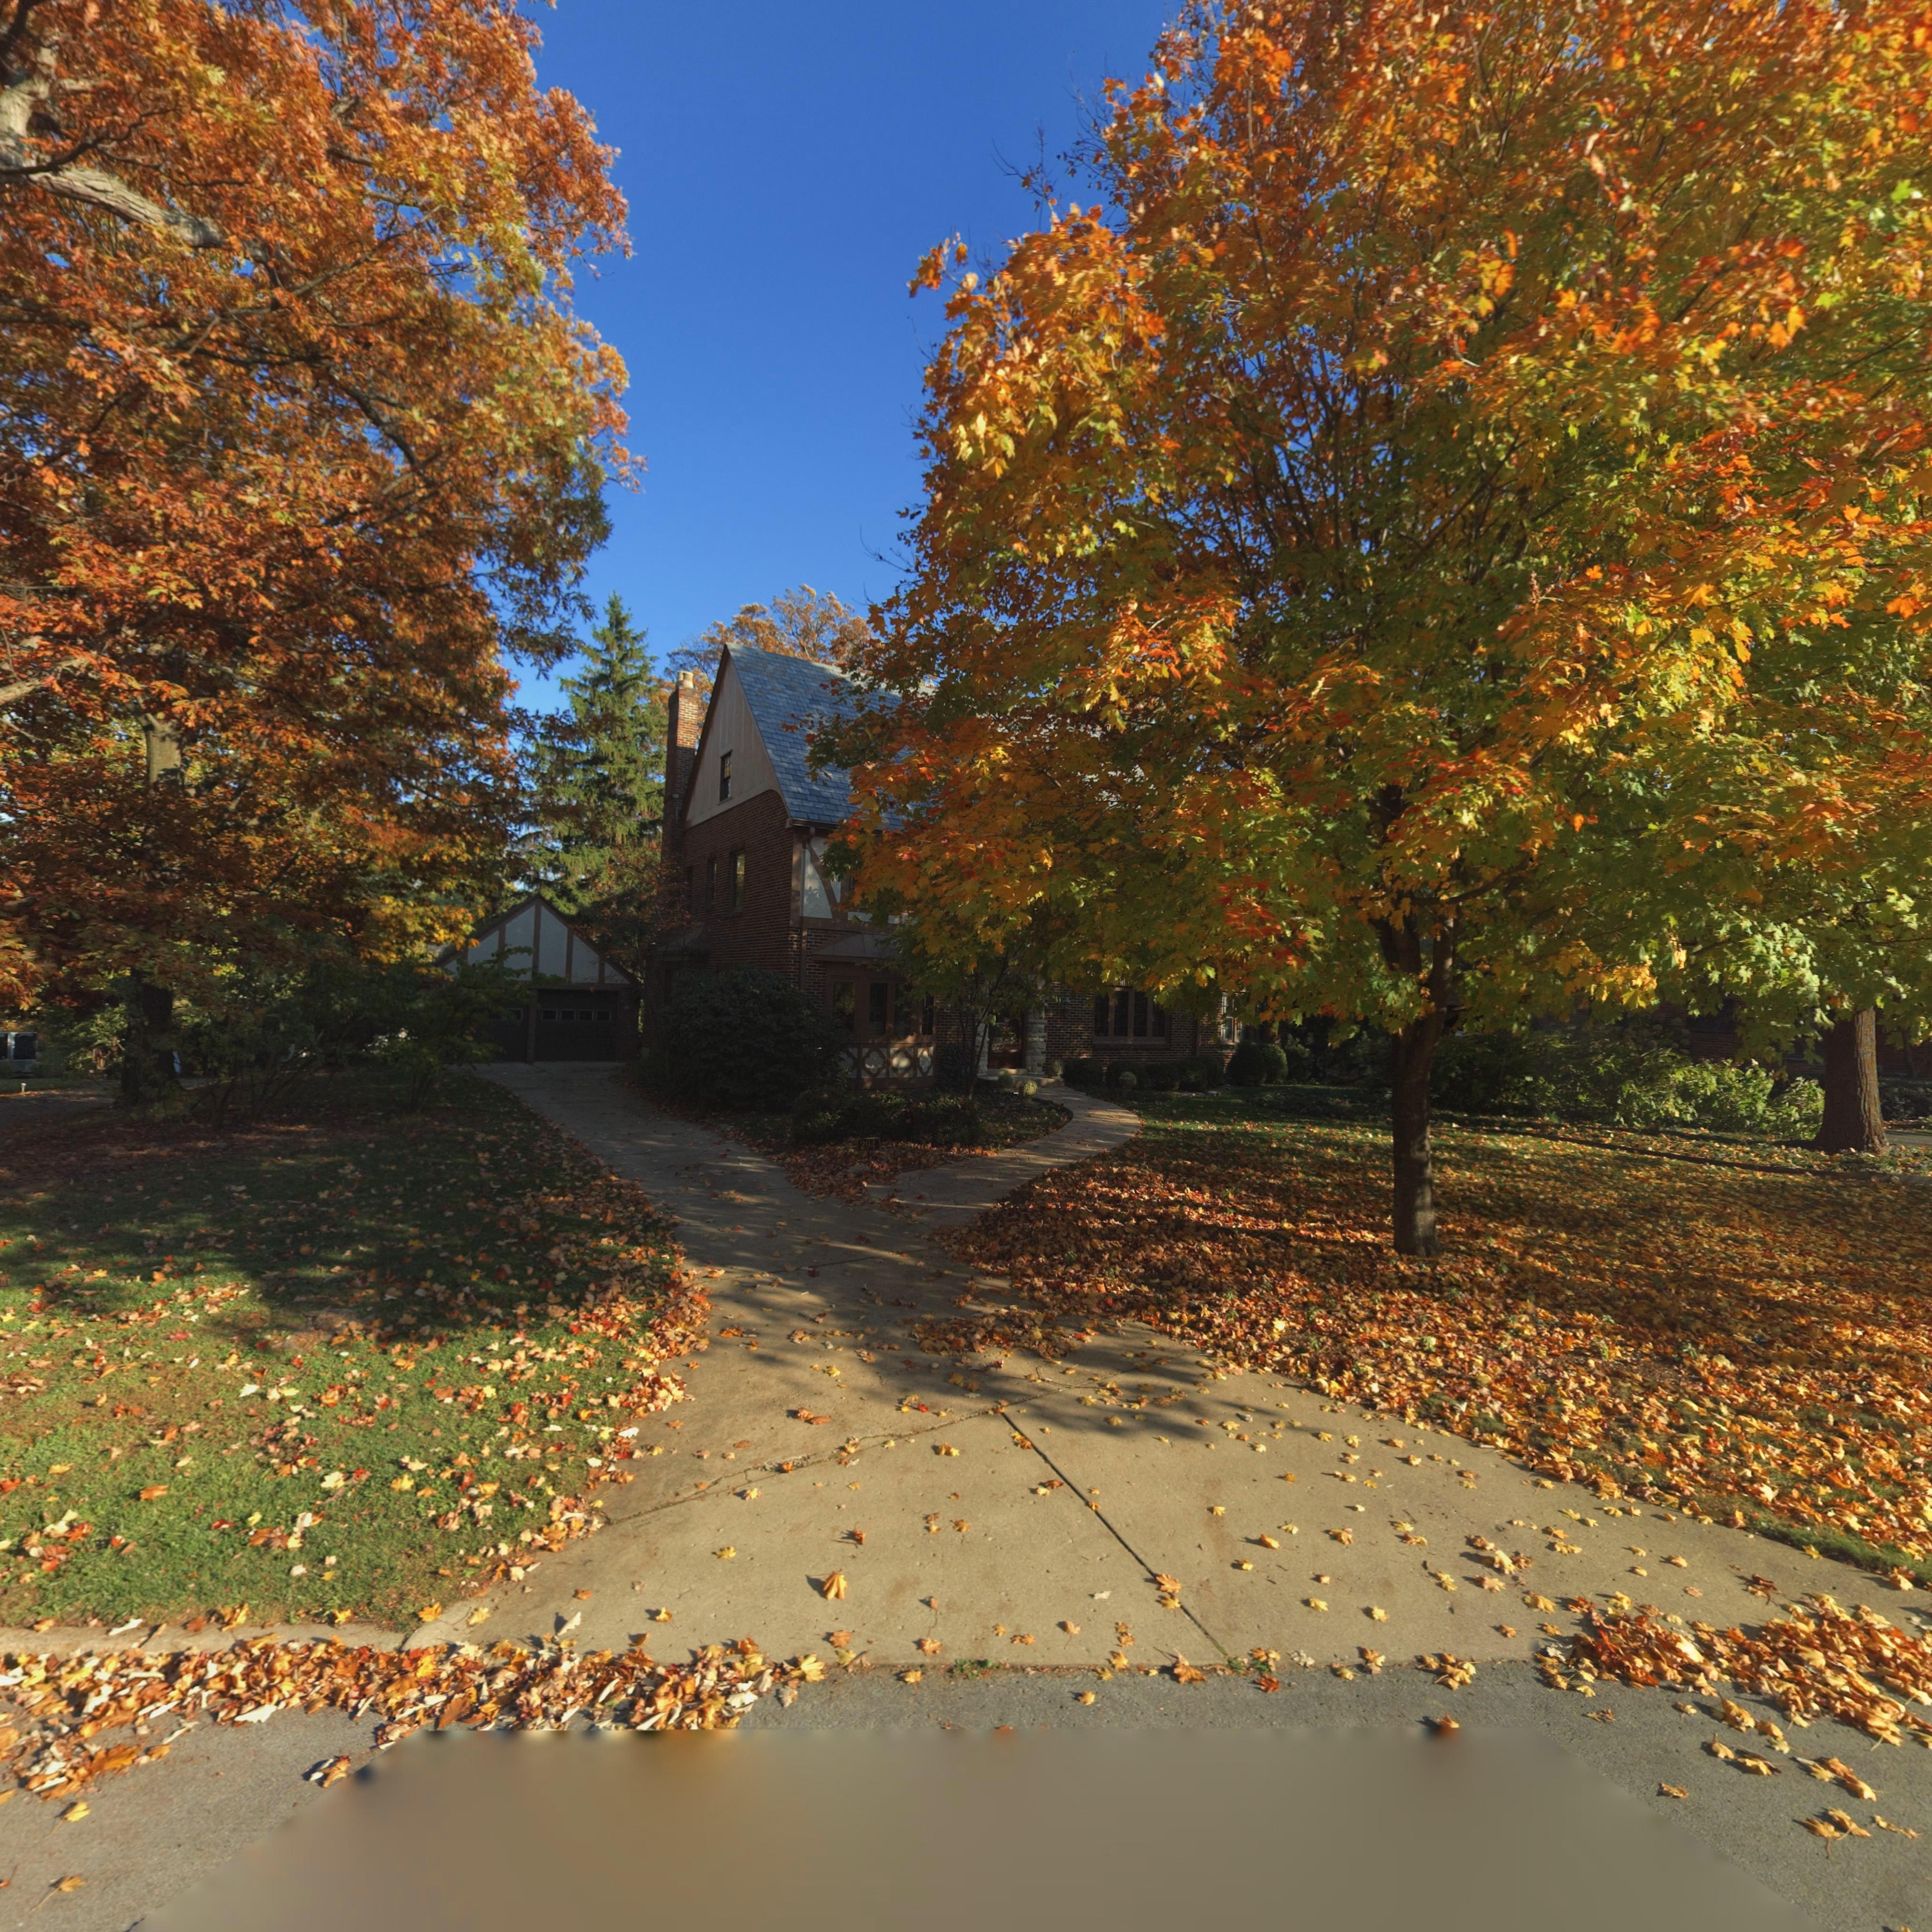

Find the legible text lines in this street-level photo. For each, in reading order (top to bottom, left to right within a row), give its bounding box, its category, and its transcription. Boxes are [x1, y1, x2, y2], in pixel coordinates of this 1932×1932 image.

[858, 1138, 877, 1151] StreetNumber: 294